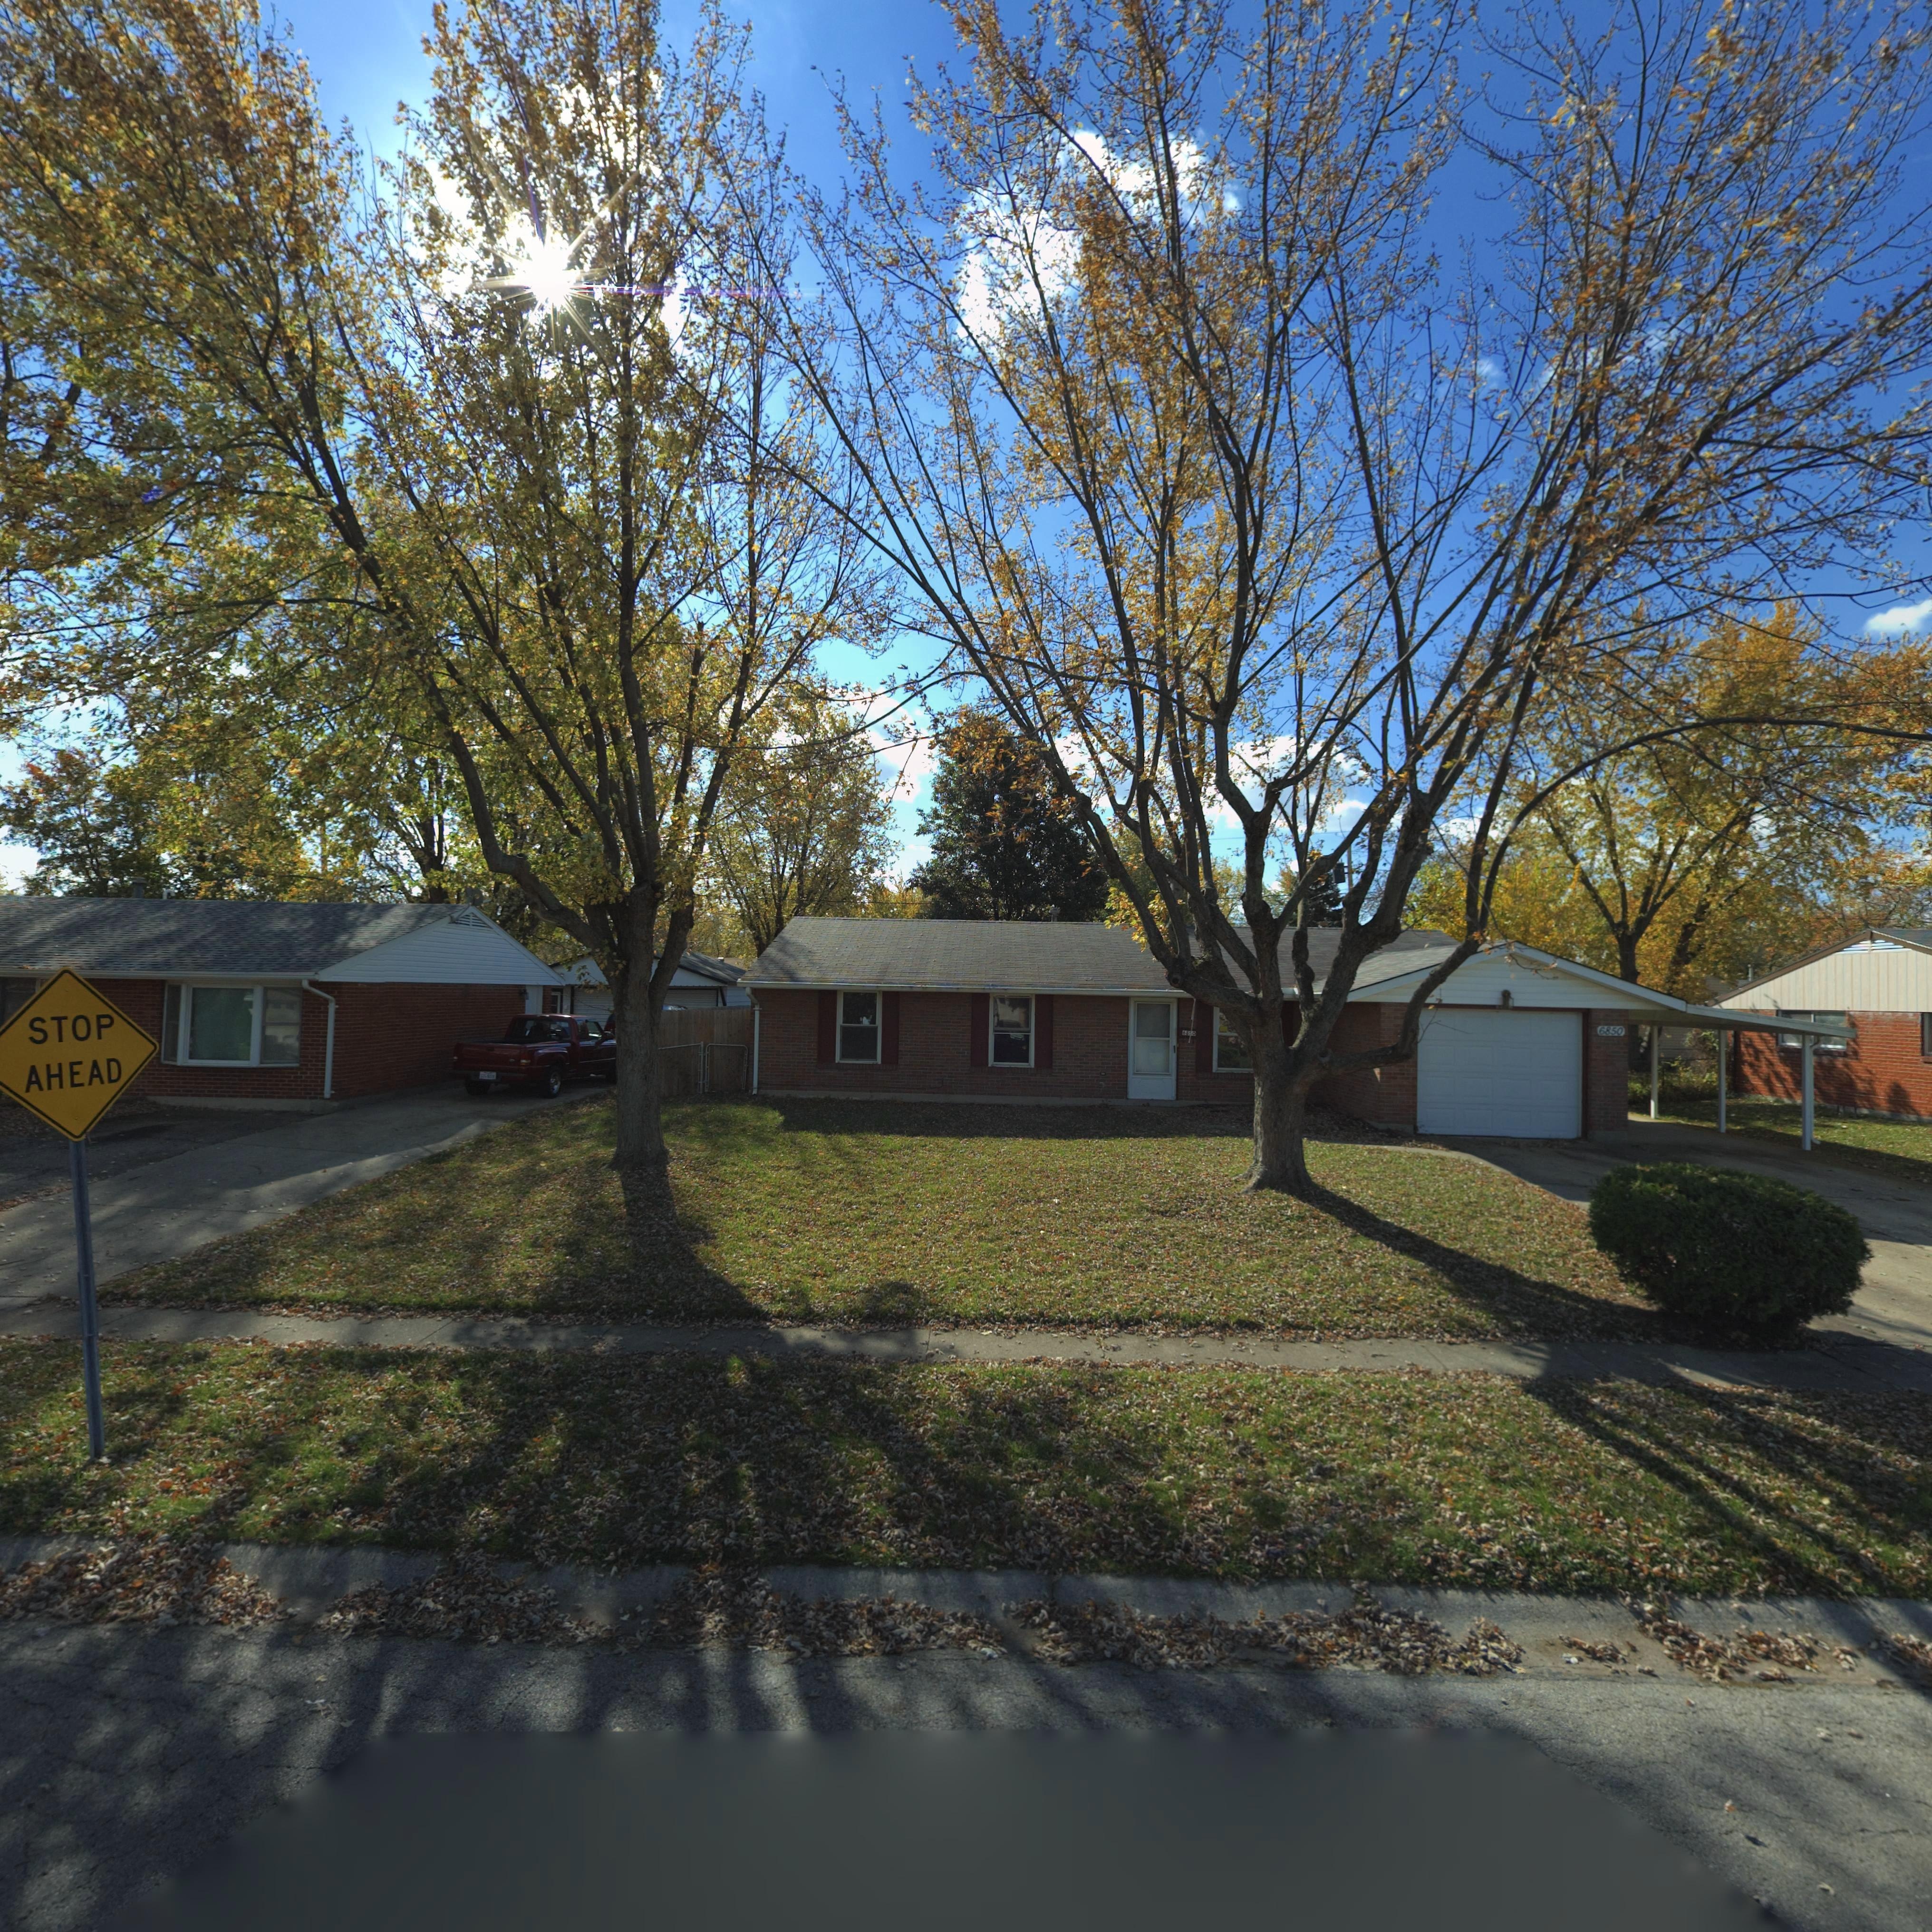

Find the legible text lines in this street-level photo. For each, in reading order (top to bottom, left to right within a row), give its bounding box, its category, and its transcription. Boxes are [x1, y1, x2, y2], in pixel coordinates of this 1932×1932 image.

[1181, 1029, 1197, 1036] StreetNumber: ***0
[1597, 1025, 1624, 1036] StreetNumber: 6850